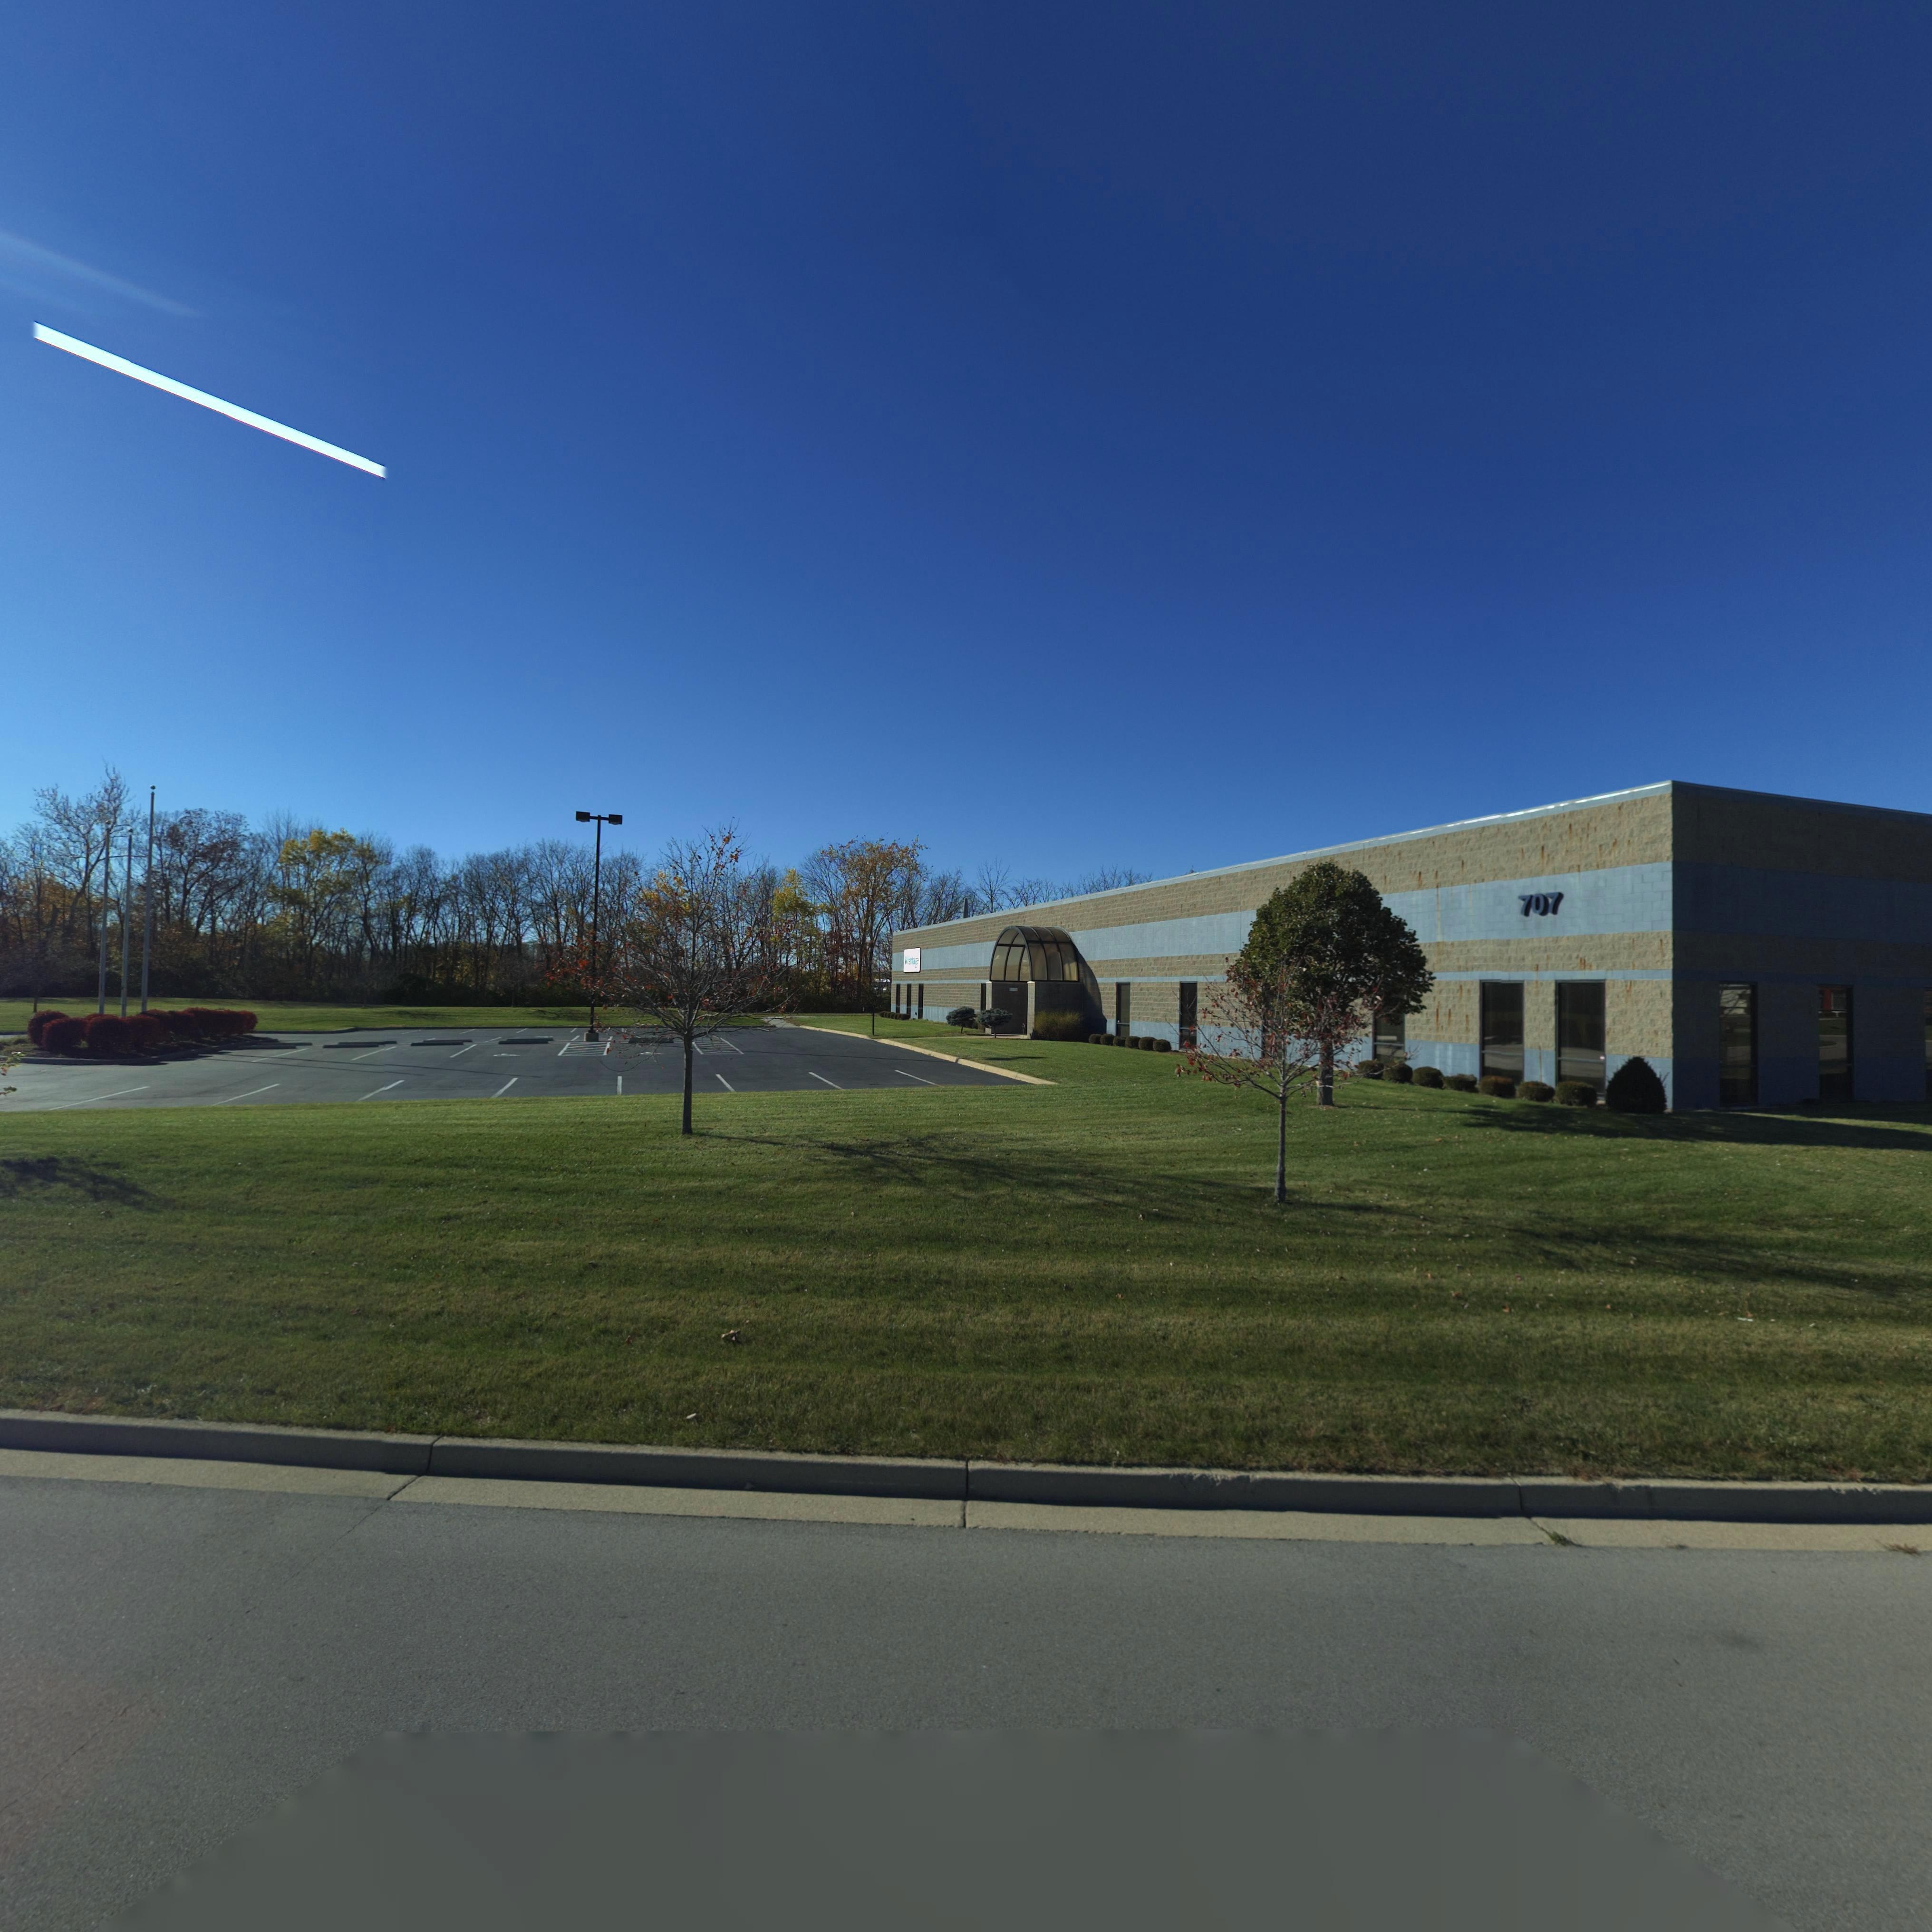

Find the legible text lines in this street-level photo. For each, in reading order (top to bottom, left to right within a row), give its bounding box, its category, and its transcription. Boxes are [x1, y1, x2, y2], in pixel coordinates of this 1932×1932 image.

[1517, 891, 1560, 916] StreetNumber: 707